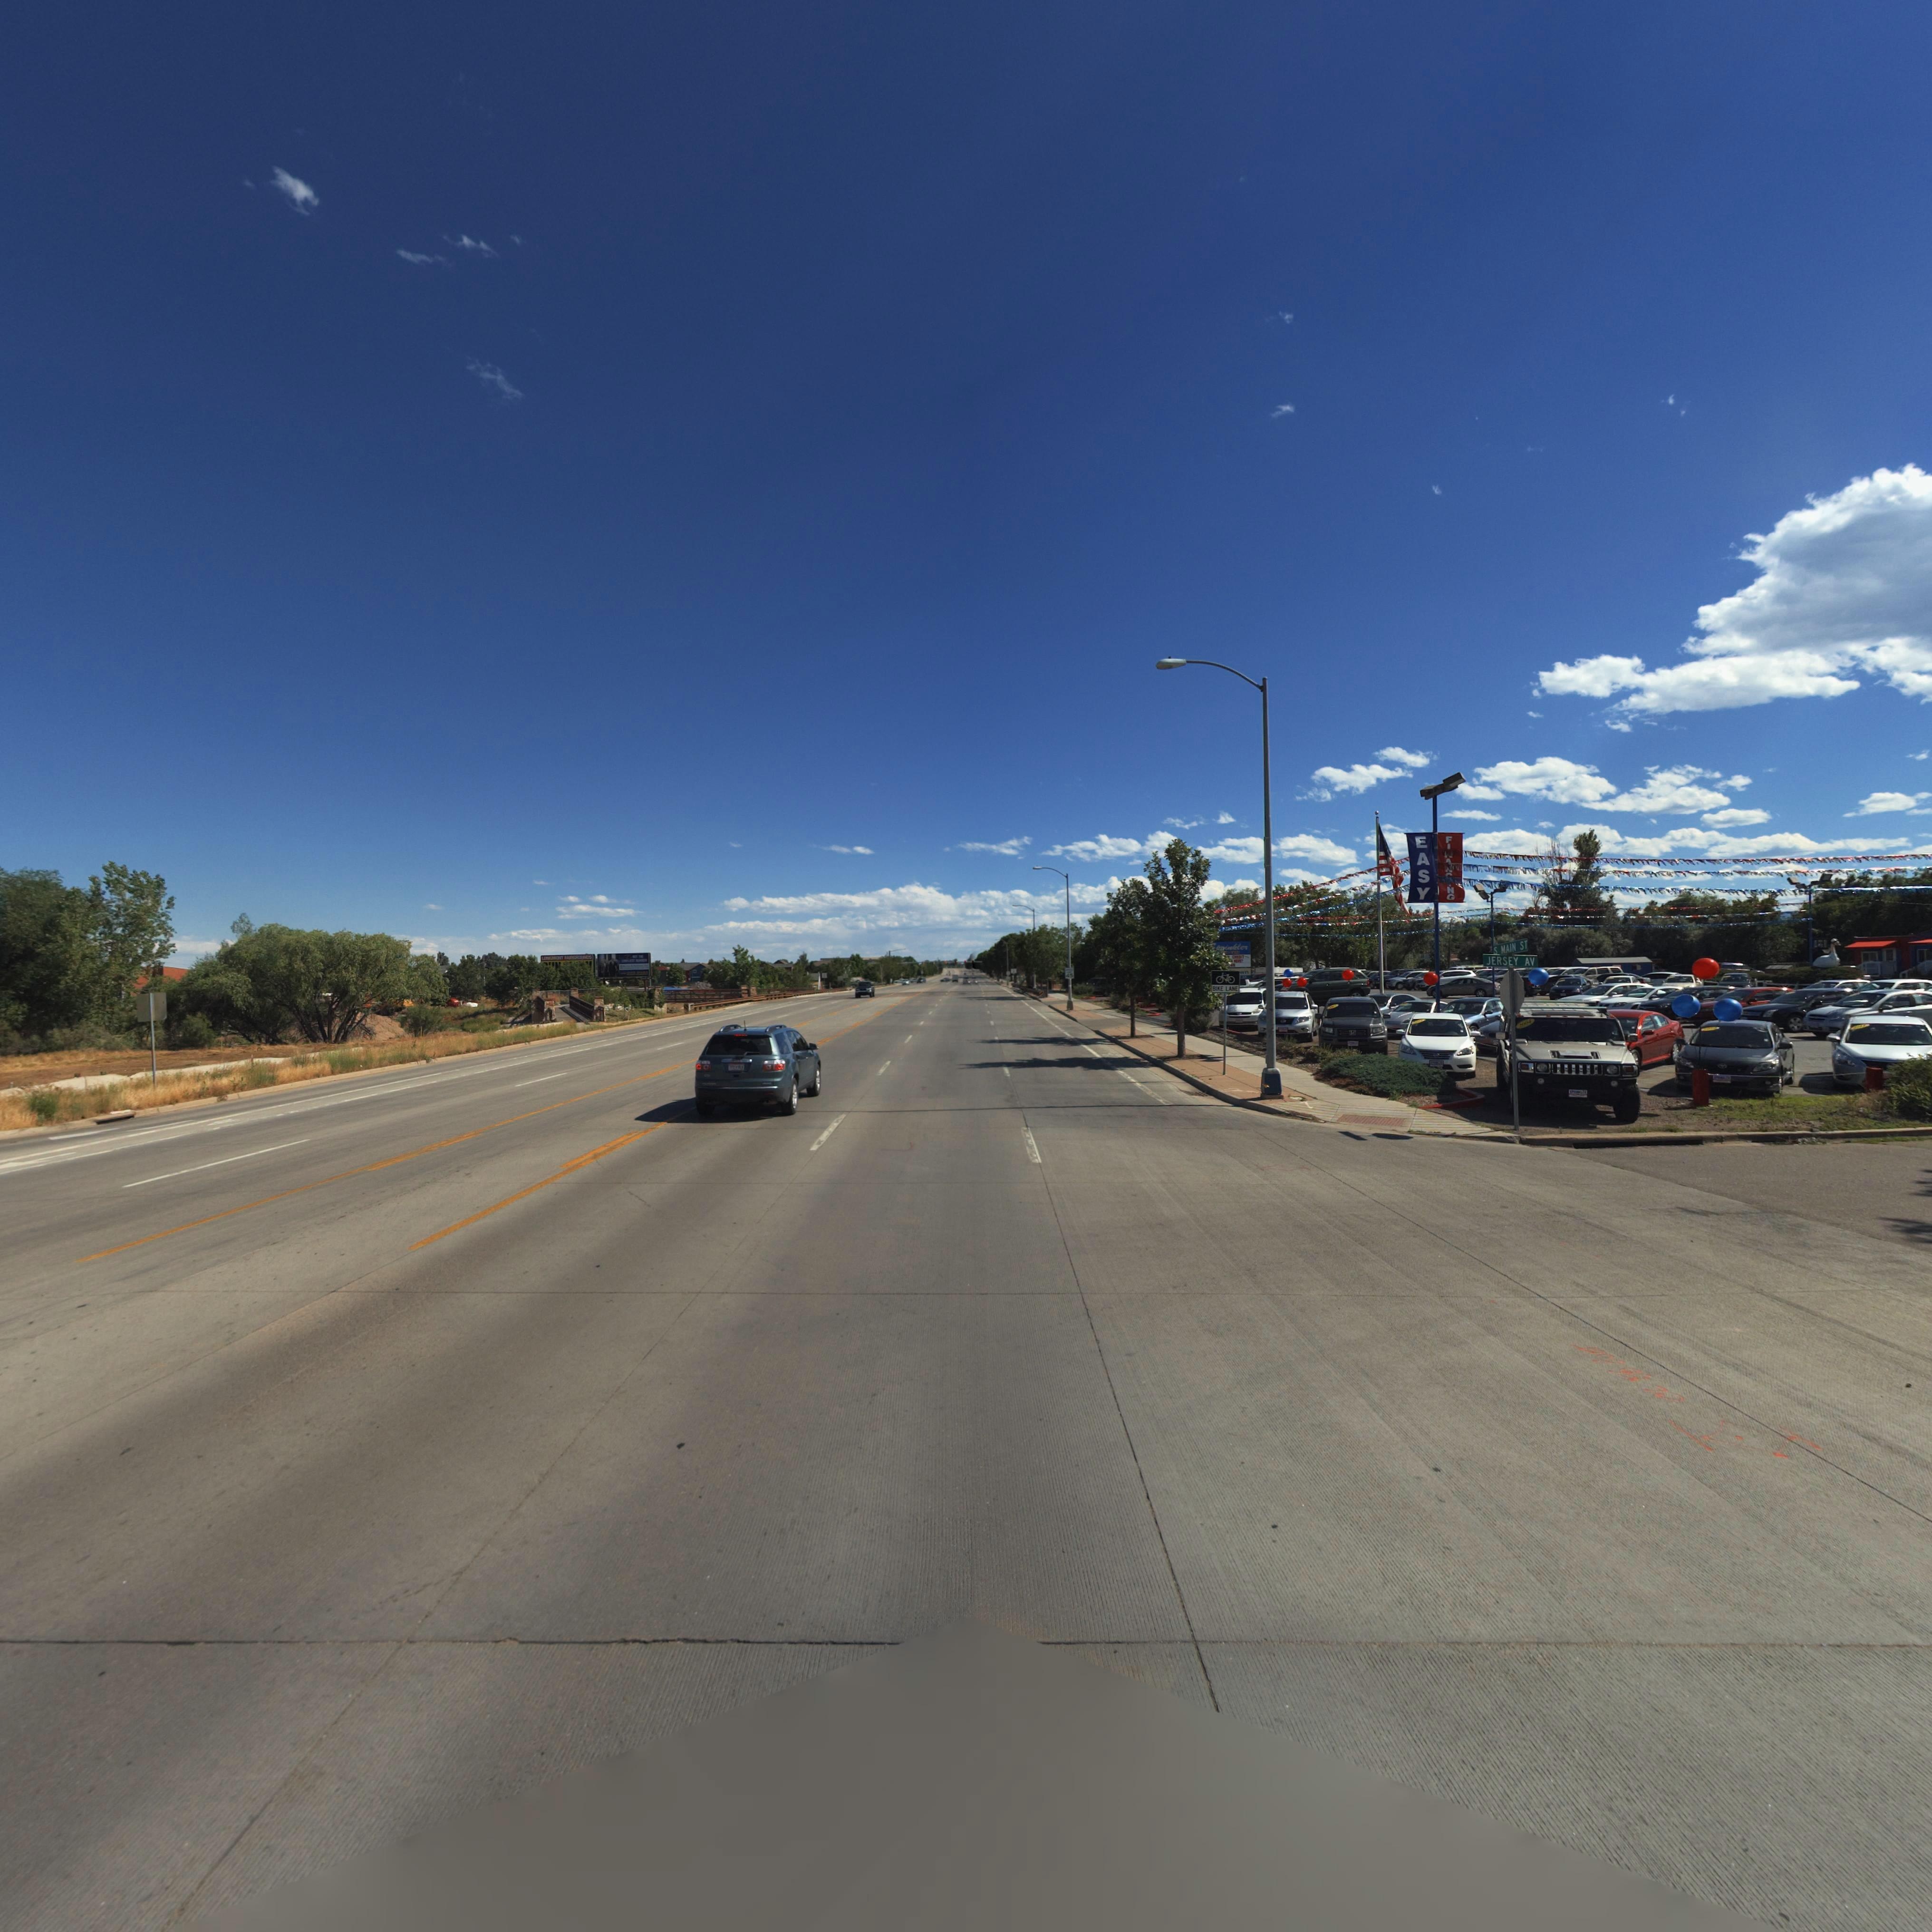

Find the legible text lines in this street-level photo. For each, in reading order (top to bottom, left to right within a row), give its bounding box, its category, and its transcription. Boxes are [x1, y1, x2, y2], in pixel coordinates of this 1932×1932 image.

[1207, 942, 1248, 954] BusinessName: ***inkler
[1492, 940, 1527, 955] StreetName: * MAIN ST
[1485, 956, 1535, 966] StreetName: JERSEY AV